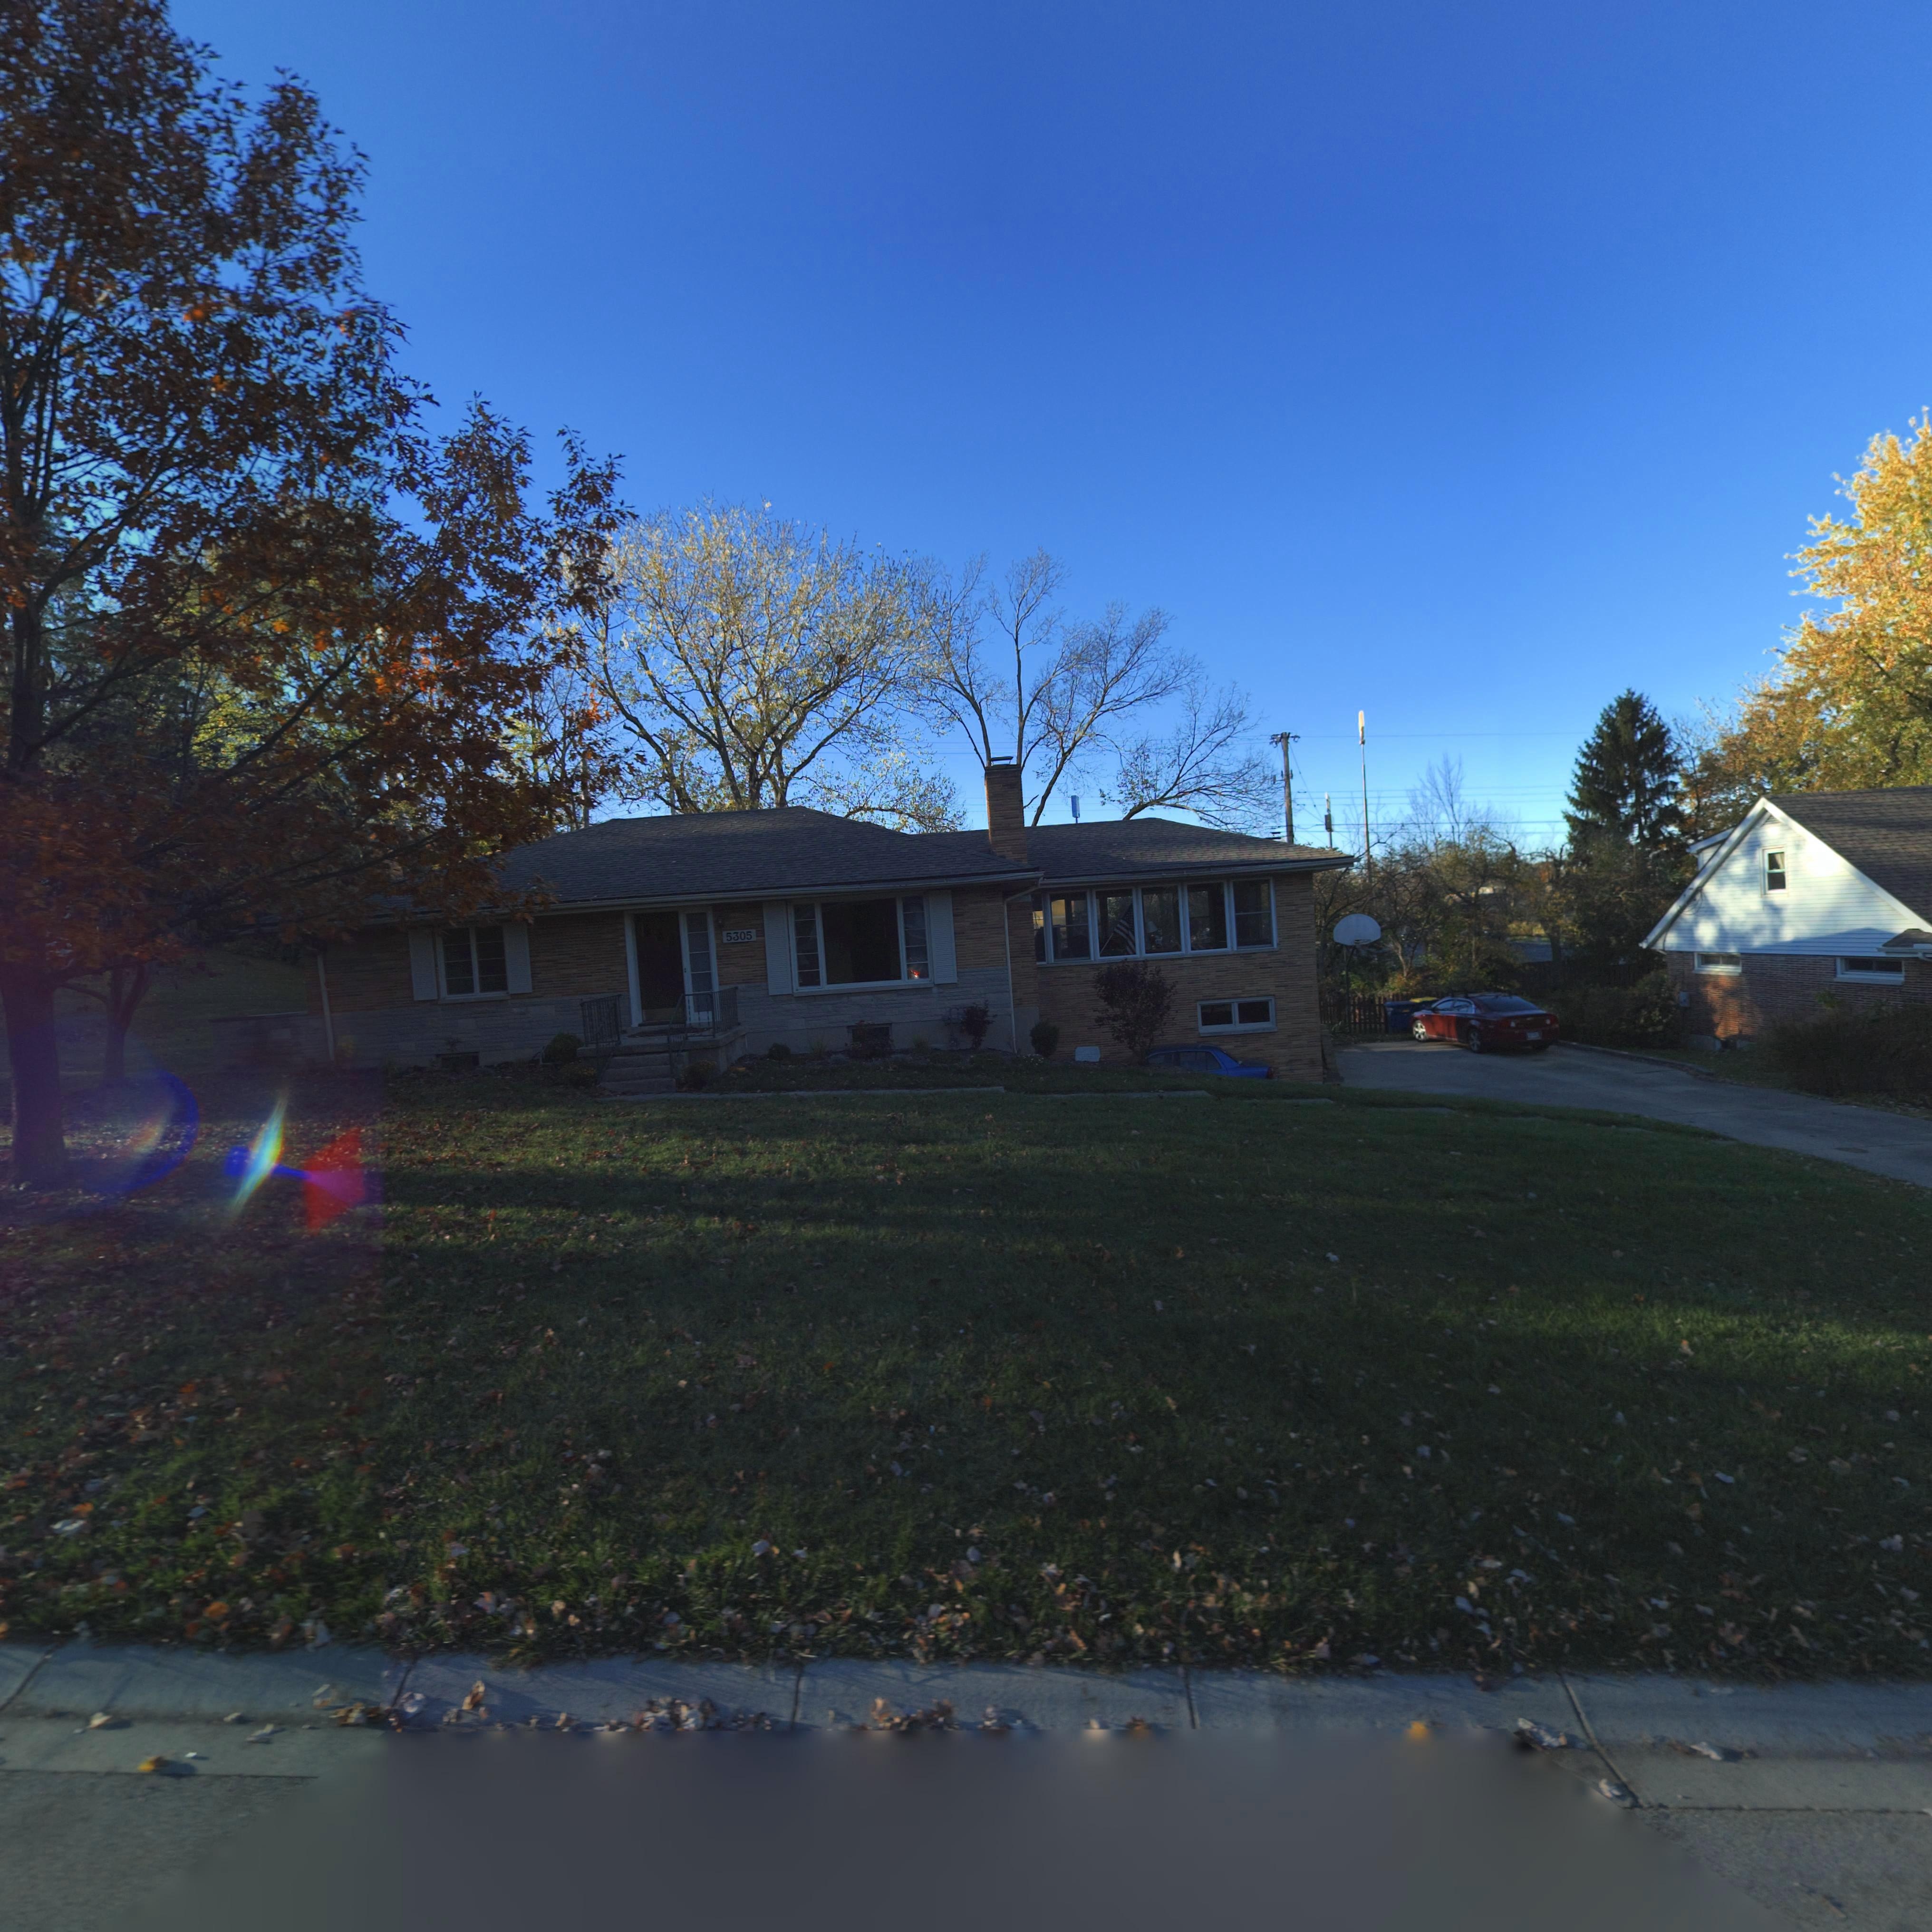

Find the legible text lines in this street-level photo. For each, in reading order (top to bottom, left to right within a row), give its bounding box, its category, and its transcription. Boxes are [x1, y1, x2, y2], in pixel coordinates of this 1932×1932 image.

[725, 929, 753, 943] StreetNumber: 5305